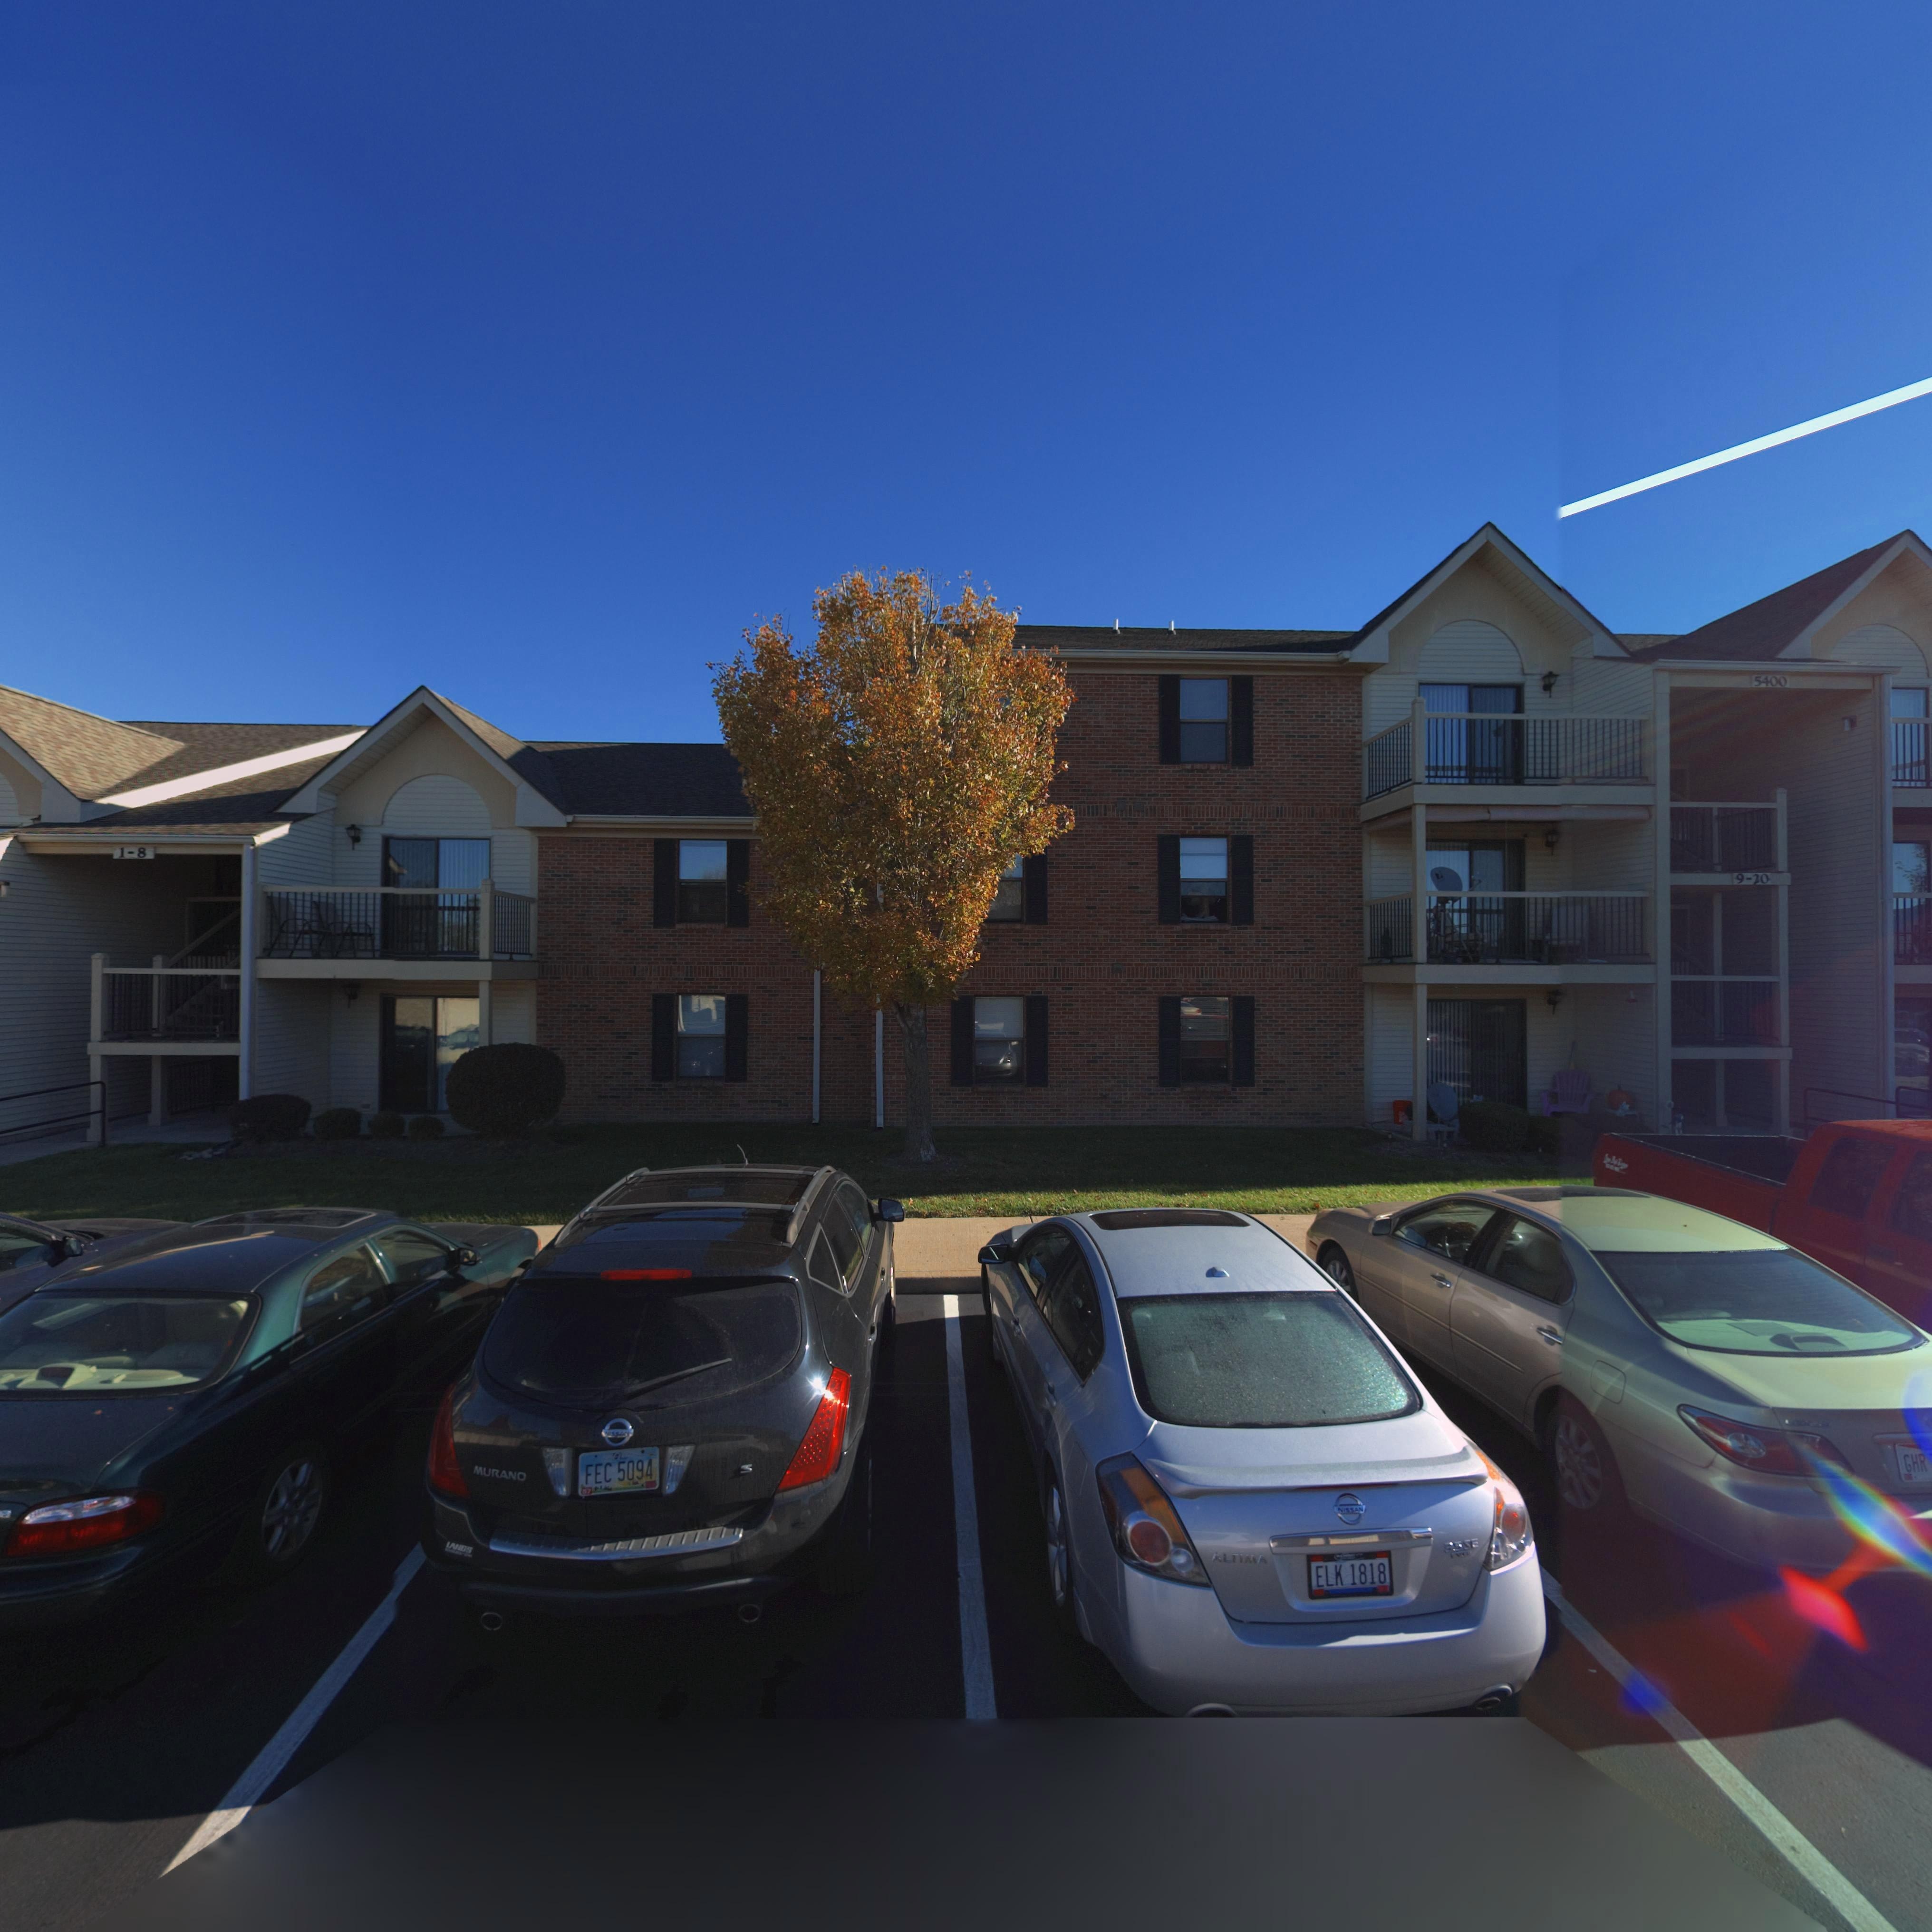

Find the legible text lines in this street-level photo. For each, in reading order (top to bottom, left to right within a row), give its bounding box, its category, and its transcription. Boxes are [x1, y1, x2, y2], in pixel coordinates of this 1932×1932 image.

[1753, 675, 1789, 688] StreetNumber: 5400
[117, 846, 148, 859] StreetNumber: 1-8
[1735, 872, 1770, 885] StreetNumber: 9-20